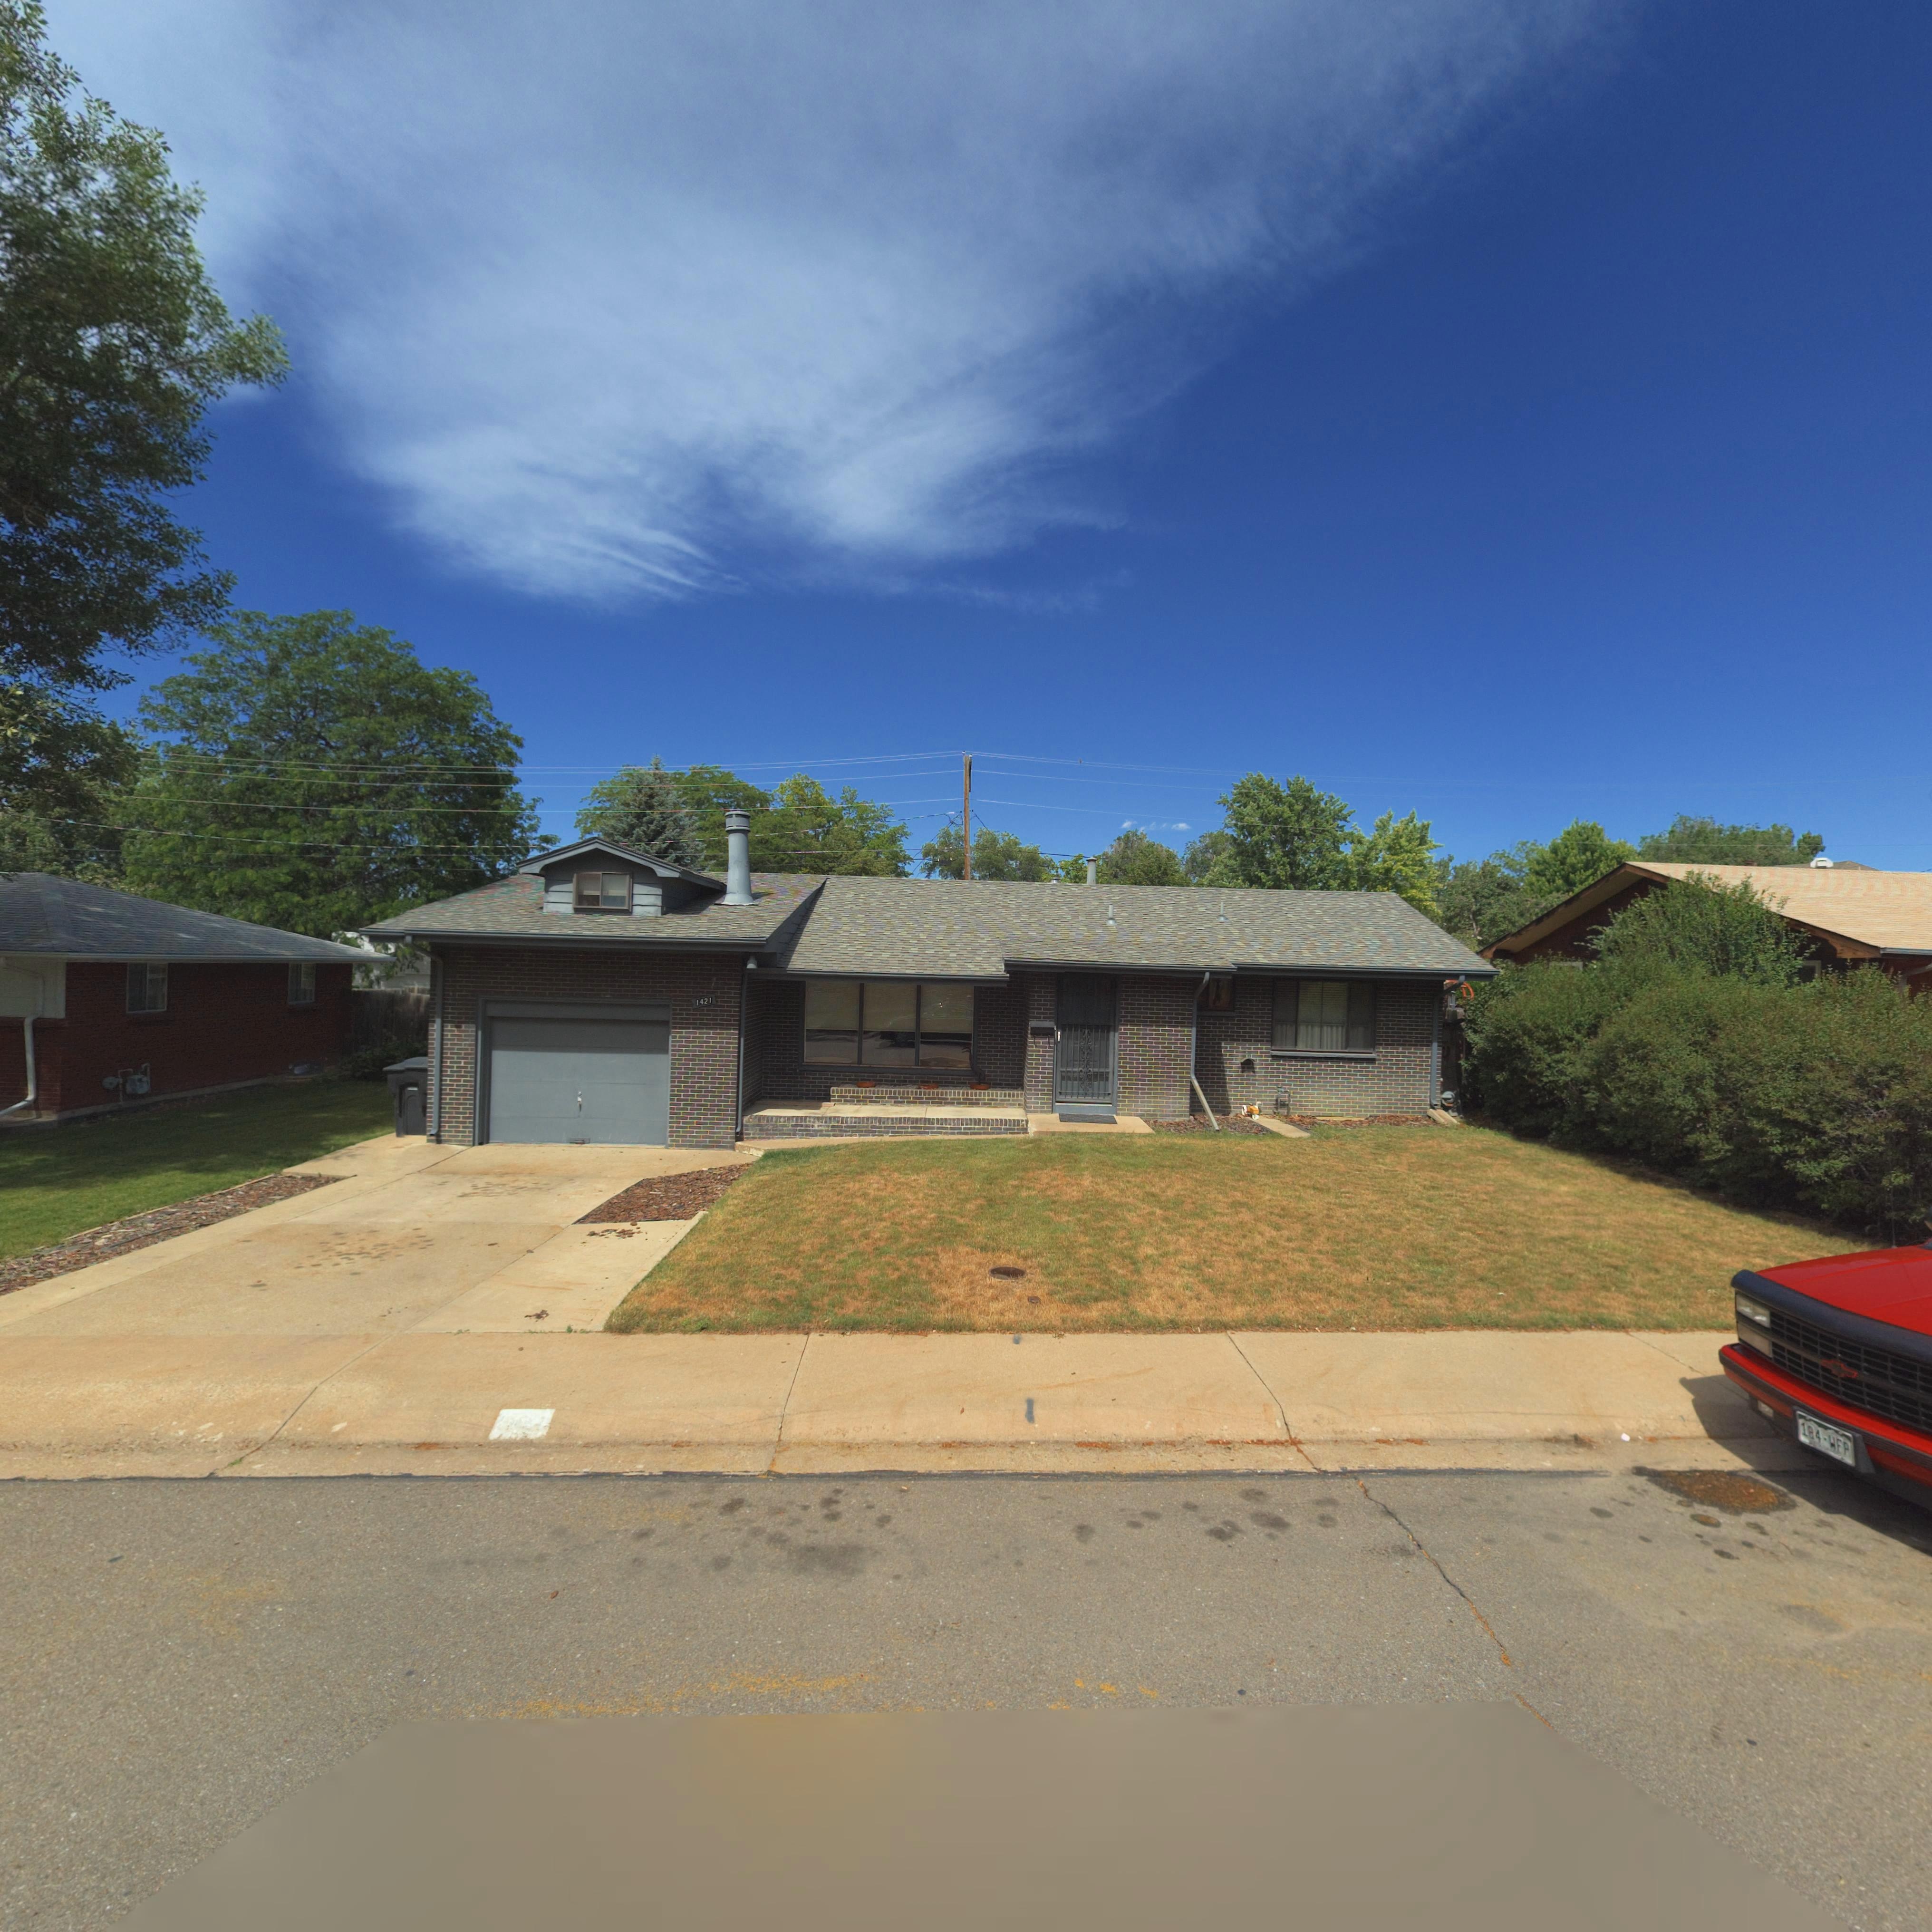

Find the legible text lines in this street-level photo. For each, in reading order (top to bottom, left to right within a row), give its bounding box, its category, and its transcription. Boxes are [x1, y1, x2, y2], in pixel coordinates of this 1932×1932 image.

[696, 997, 712, 1006] StreetNumber: 1421